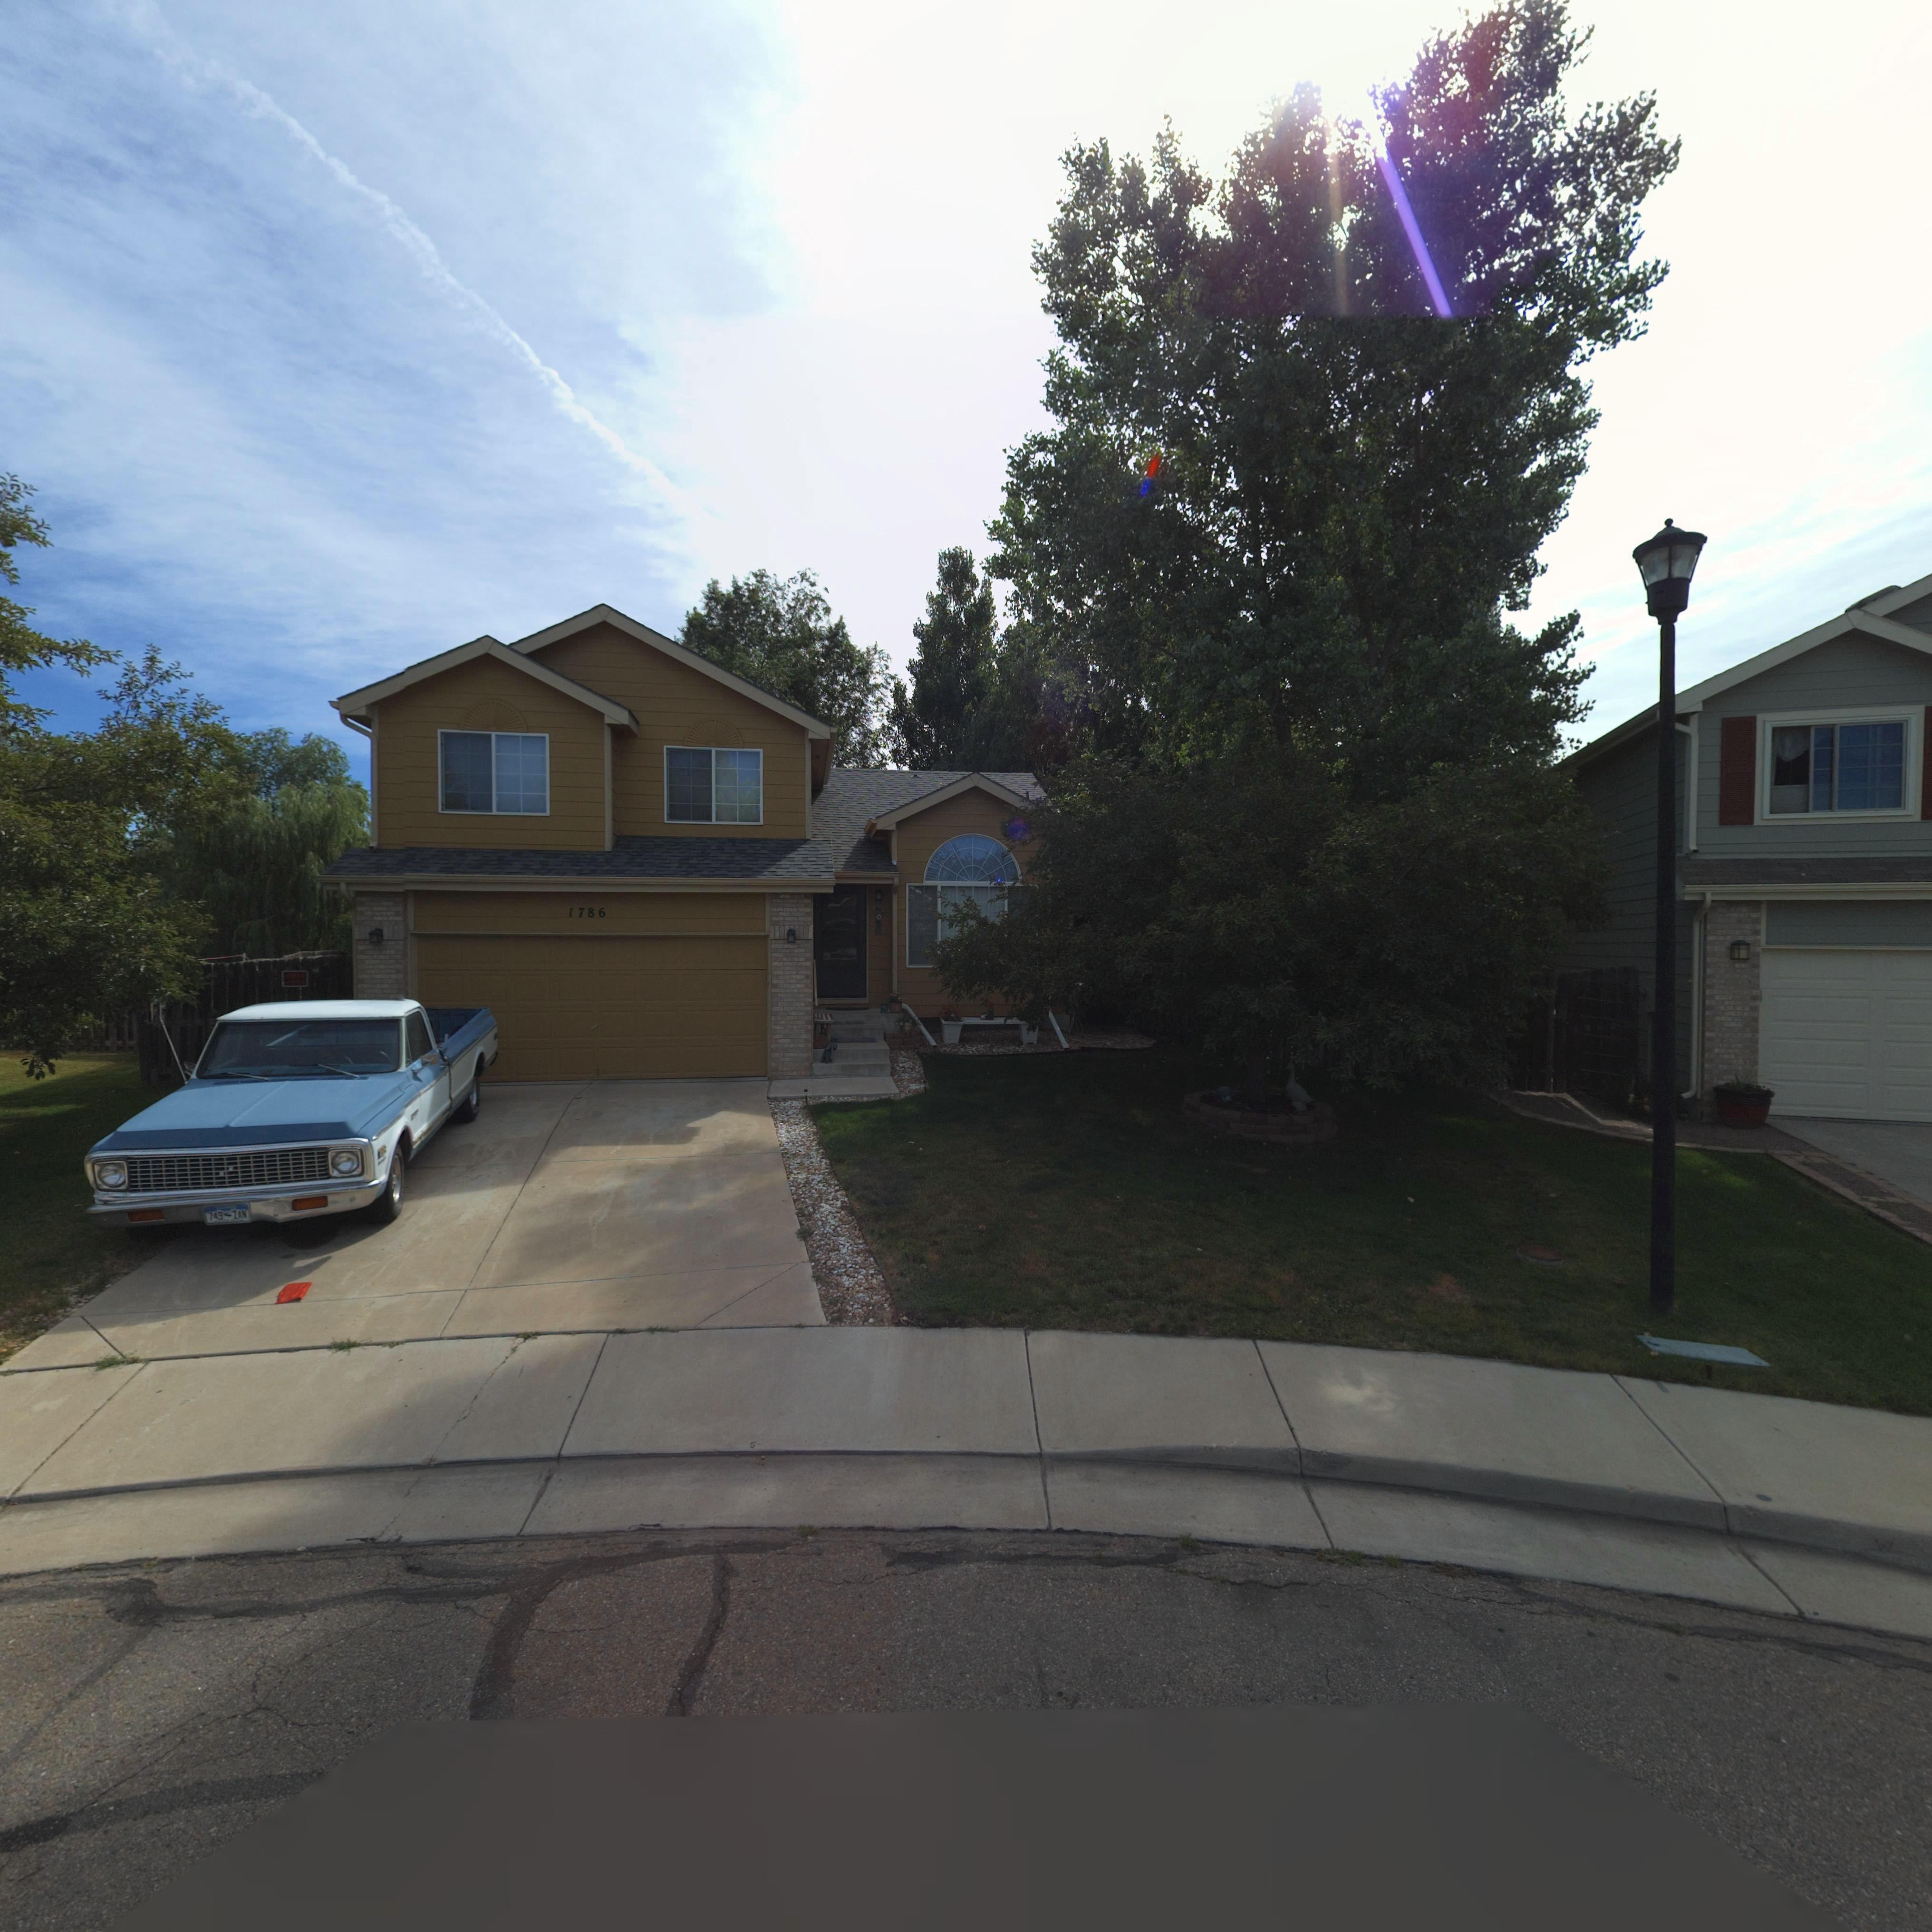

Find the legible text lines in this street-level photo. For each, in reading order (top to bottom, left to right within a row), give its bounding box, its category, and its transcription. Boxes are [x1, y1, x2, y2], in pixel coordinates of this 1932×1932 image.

[568, 906, 606, 918] StreetNumber: 1786